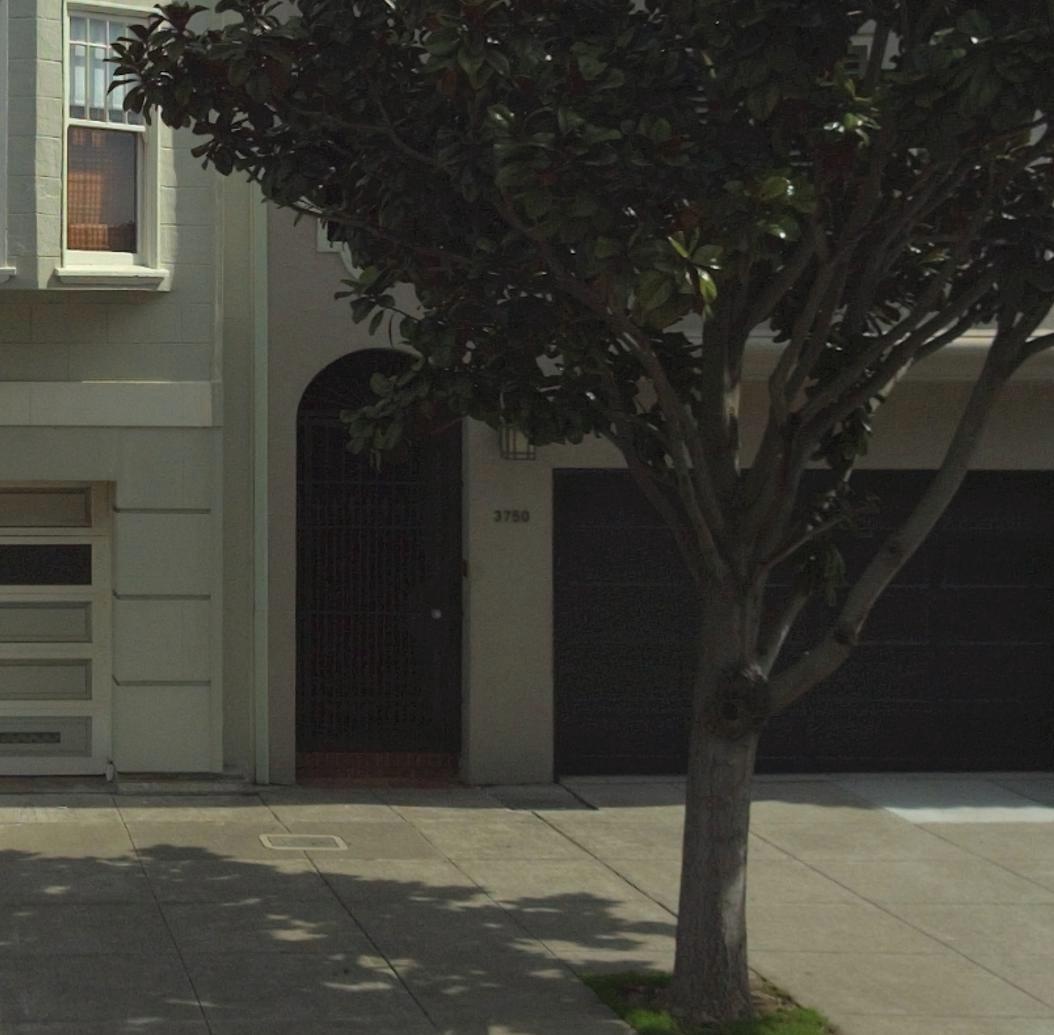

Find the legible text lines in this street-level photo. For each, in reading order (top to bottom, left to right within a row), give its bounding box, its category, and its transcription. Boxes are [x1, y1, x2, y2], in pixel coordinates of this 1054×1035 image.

[491, 508, 532, 525] StreetNumber: 3750